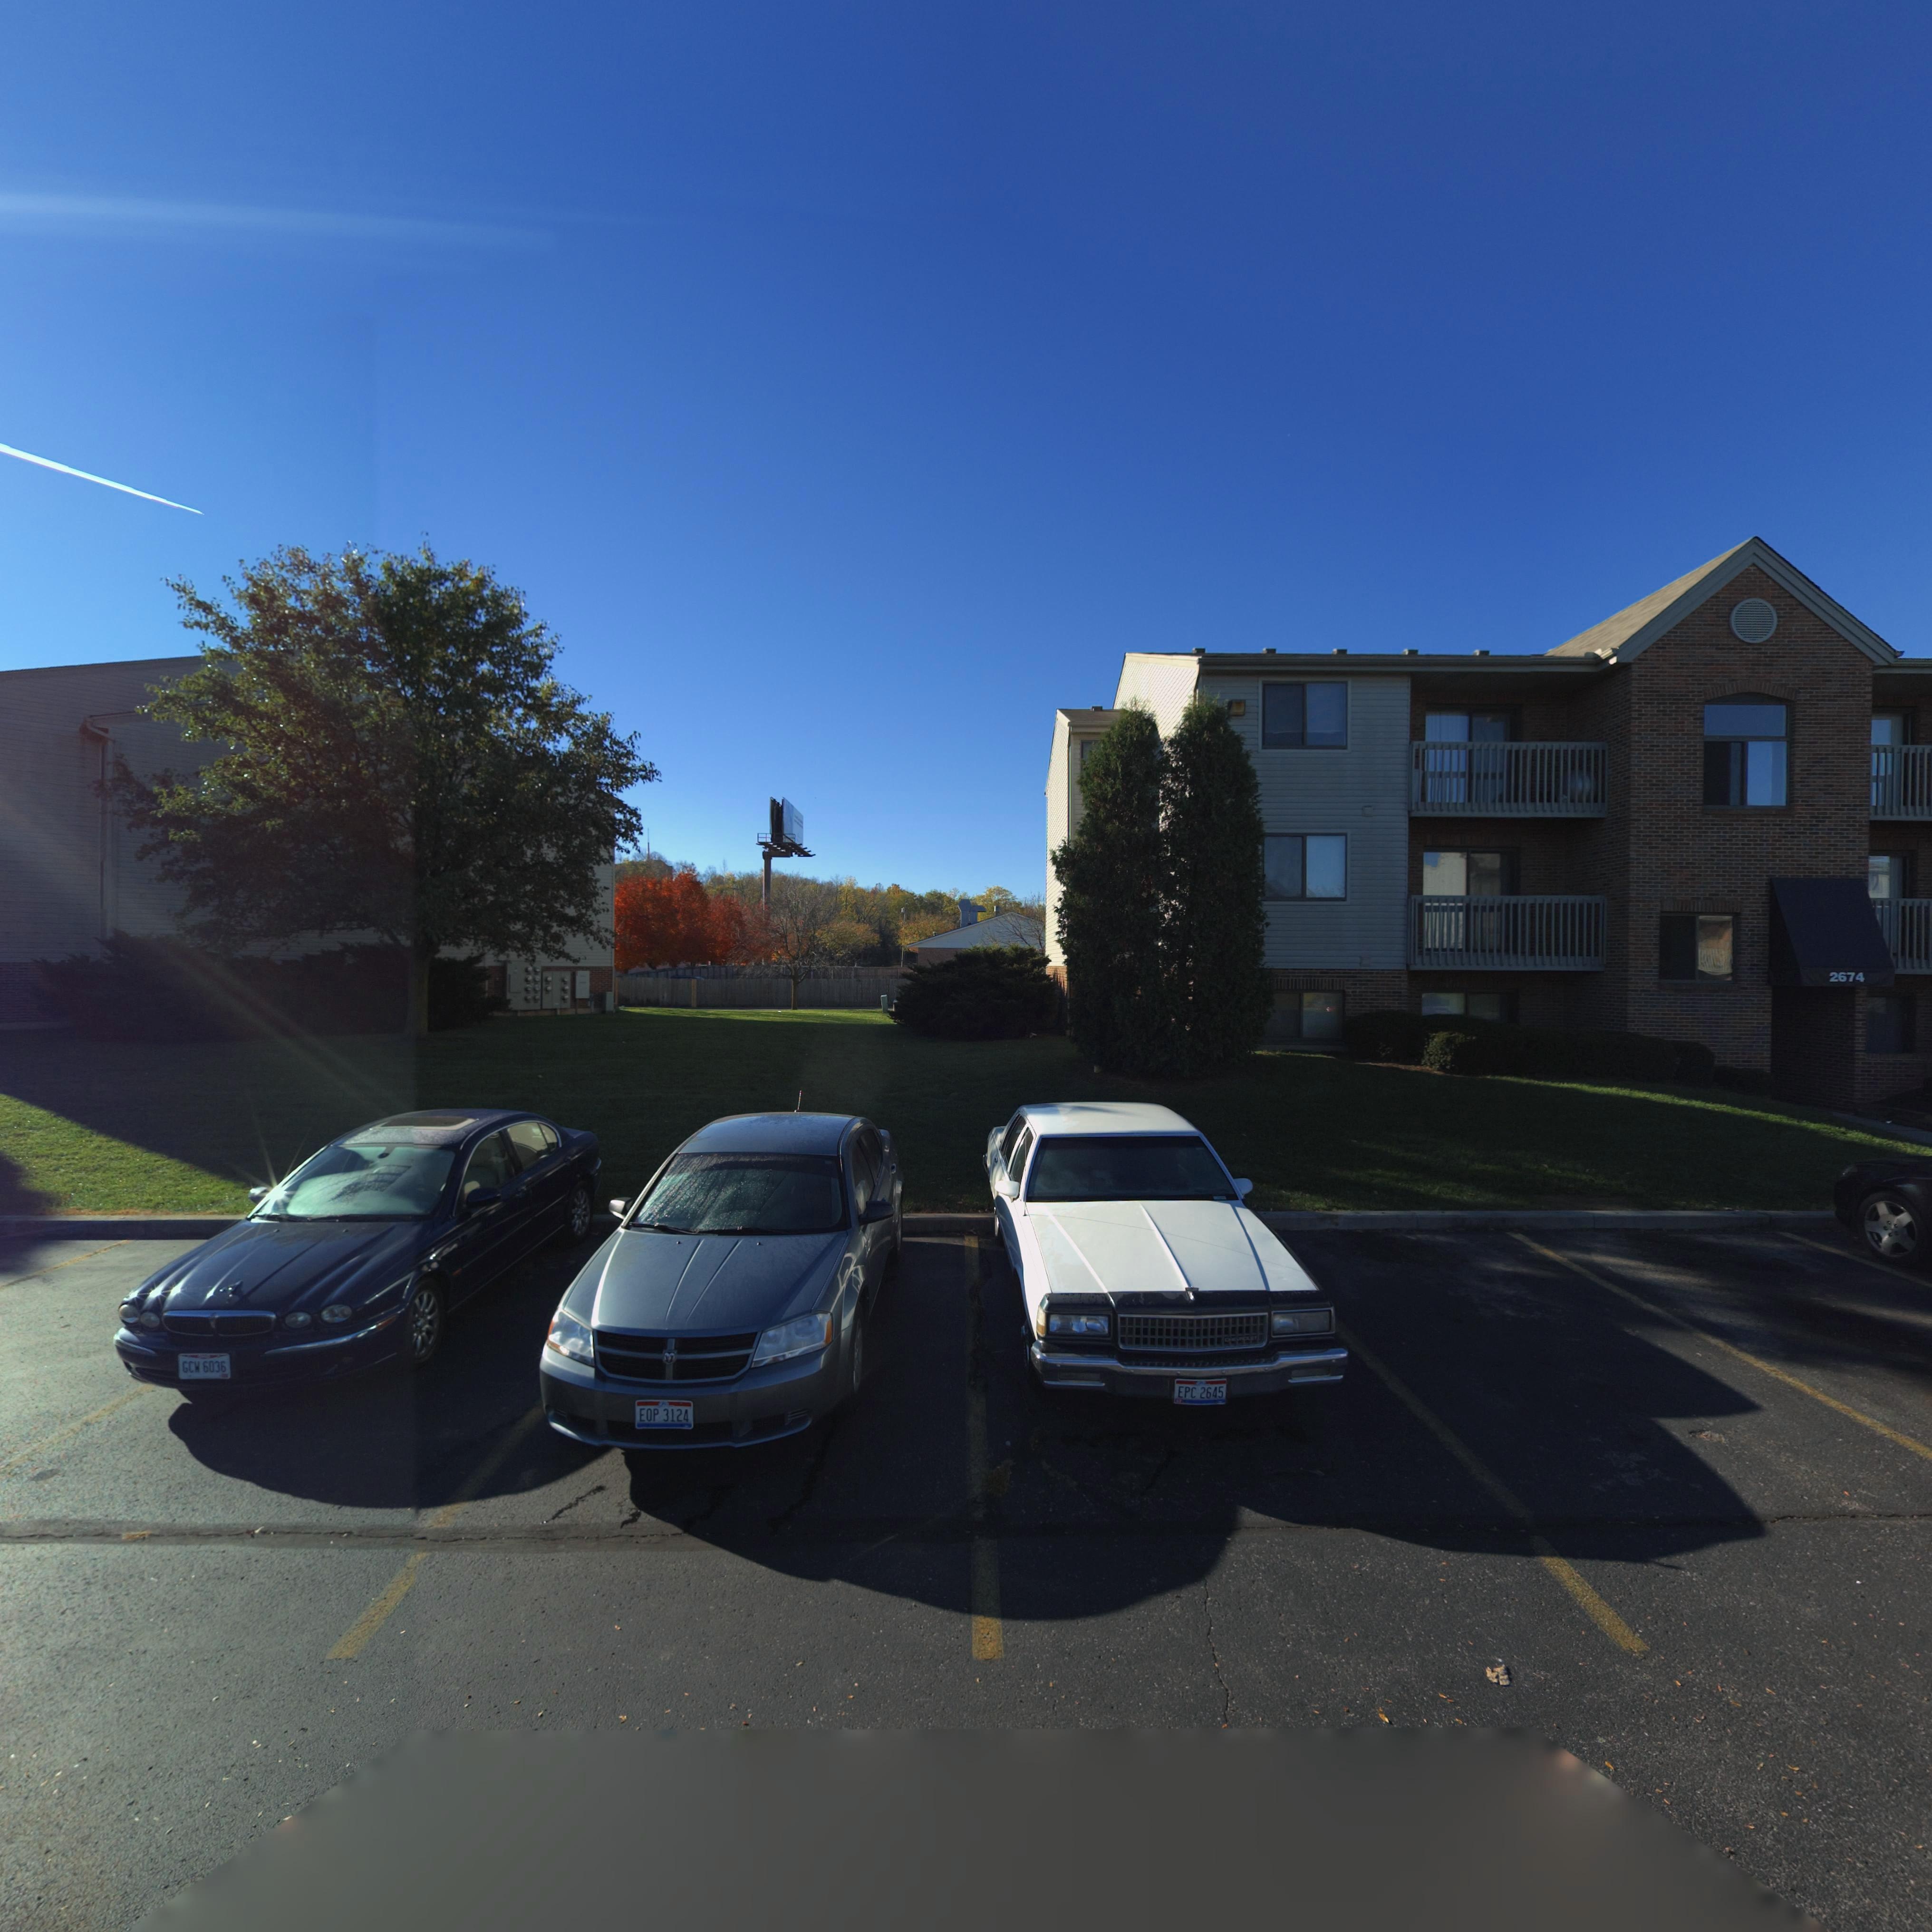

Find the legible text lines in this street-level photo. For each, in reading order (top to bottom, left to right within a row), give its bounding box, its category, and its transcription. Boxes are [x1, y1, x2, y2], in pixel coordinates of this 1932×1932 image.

[1828, 971, 1866, 983] StreetNumber: 2674